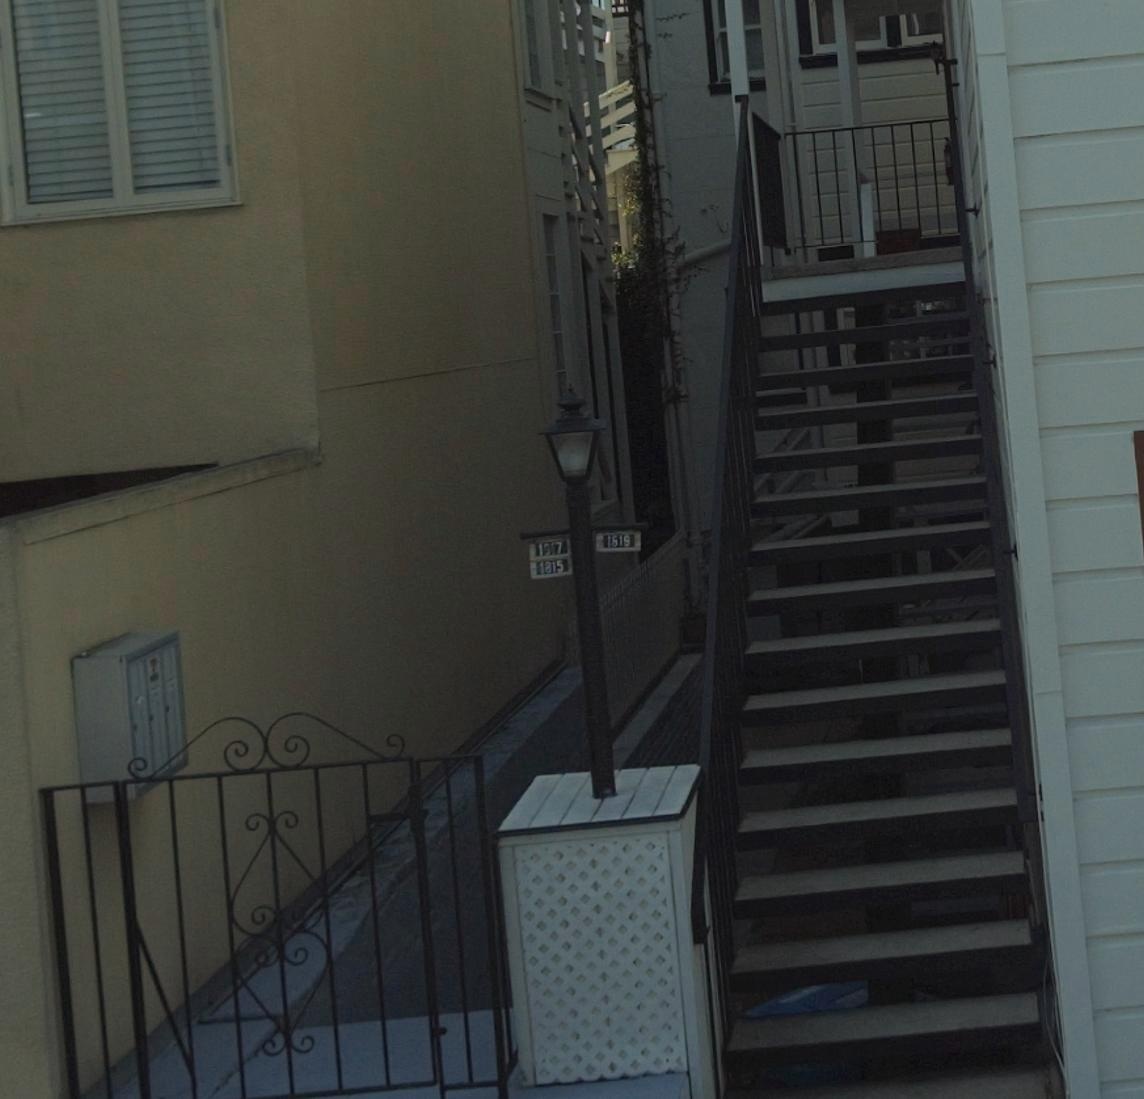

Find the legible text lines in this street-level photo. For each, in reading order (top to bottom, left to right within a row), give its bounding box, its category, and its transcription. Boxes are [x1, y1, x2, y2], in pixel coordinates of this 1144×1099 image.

[536, 540, 563, 558] StreetNumber: 1817
[606, 533, 630, 549] StreetNumber: 1819
[539, 559, 567, 575] StreetNumber: 1815